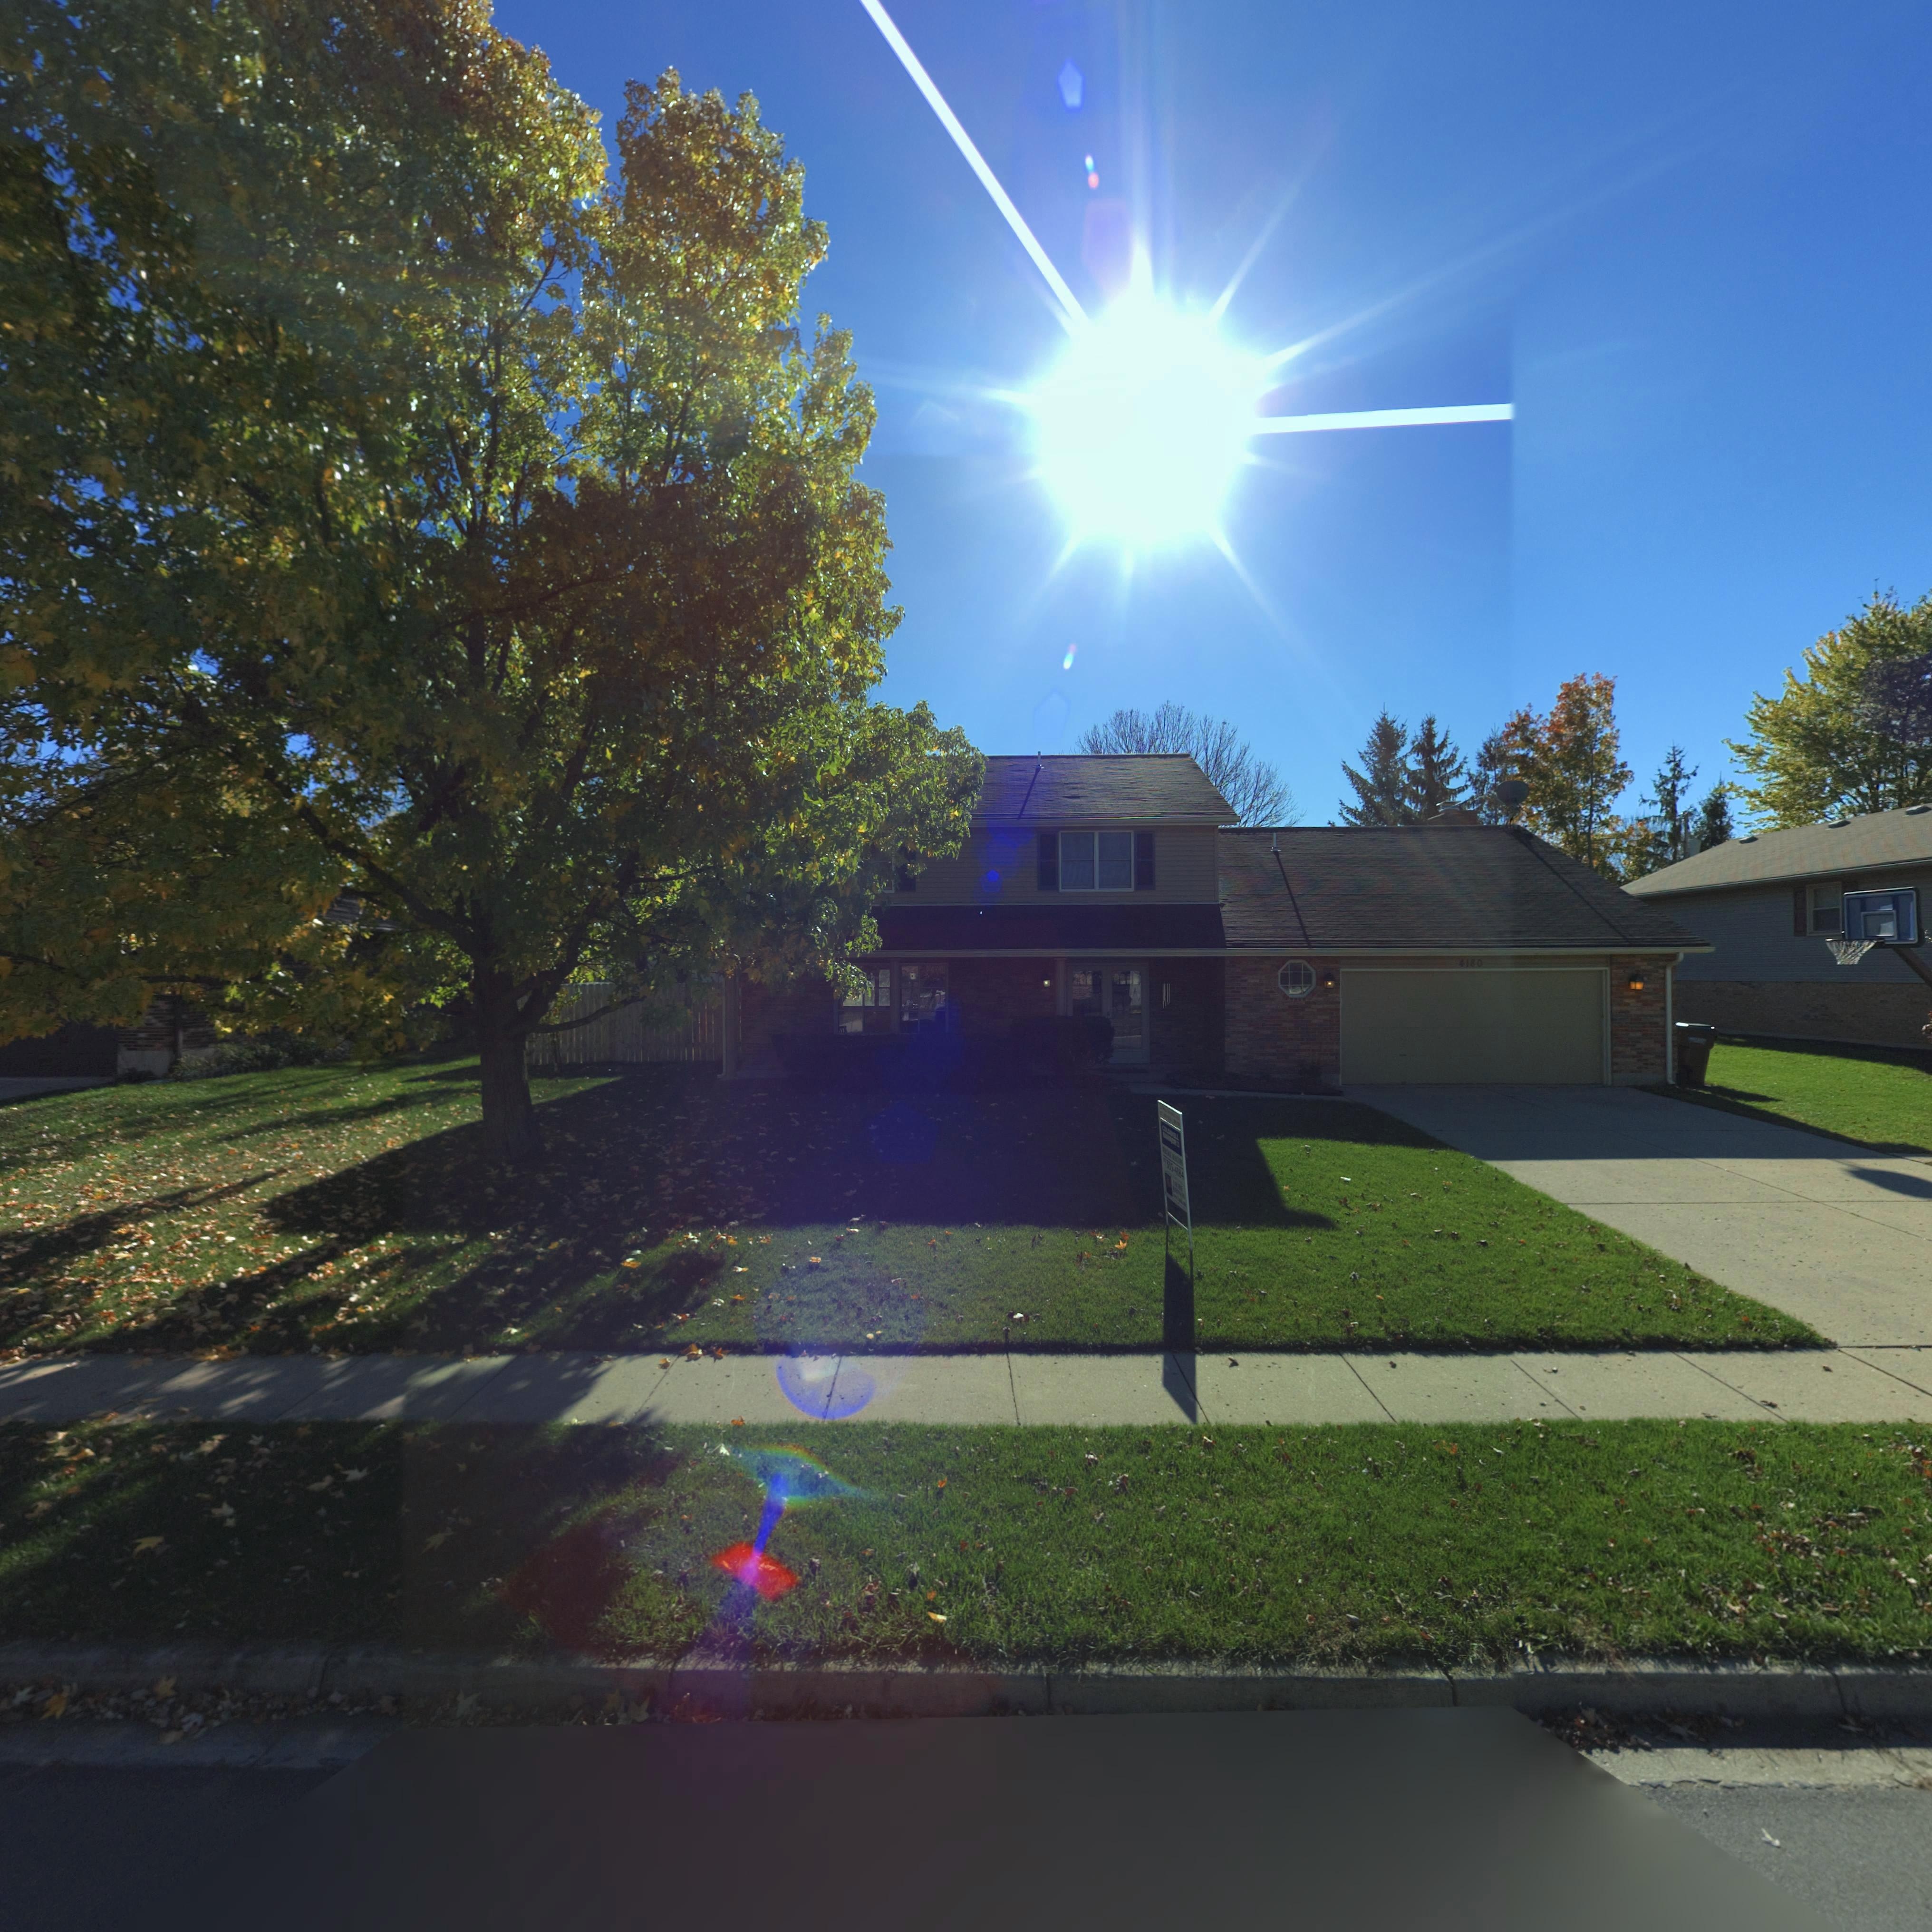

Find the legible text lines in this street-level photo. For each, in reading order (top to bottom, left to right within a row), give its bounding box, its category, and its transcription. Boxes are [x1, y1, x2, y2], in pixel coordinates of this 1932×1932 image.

[1457, 958, 1484, 968] StreetNumber: 4180
[1161, 1123, 1180, 1142] None: COLD**LL
[1166, 1158, 1185, 1182] None: 335-4*84